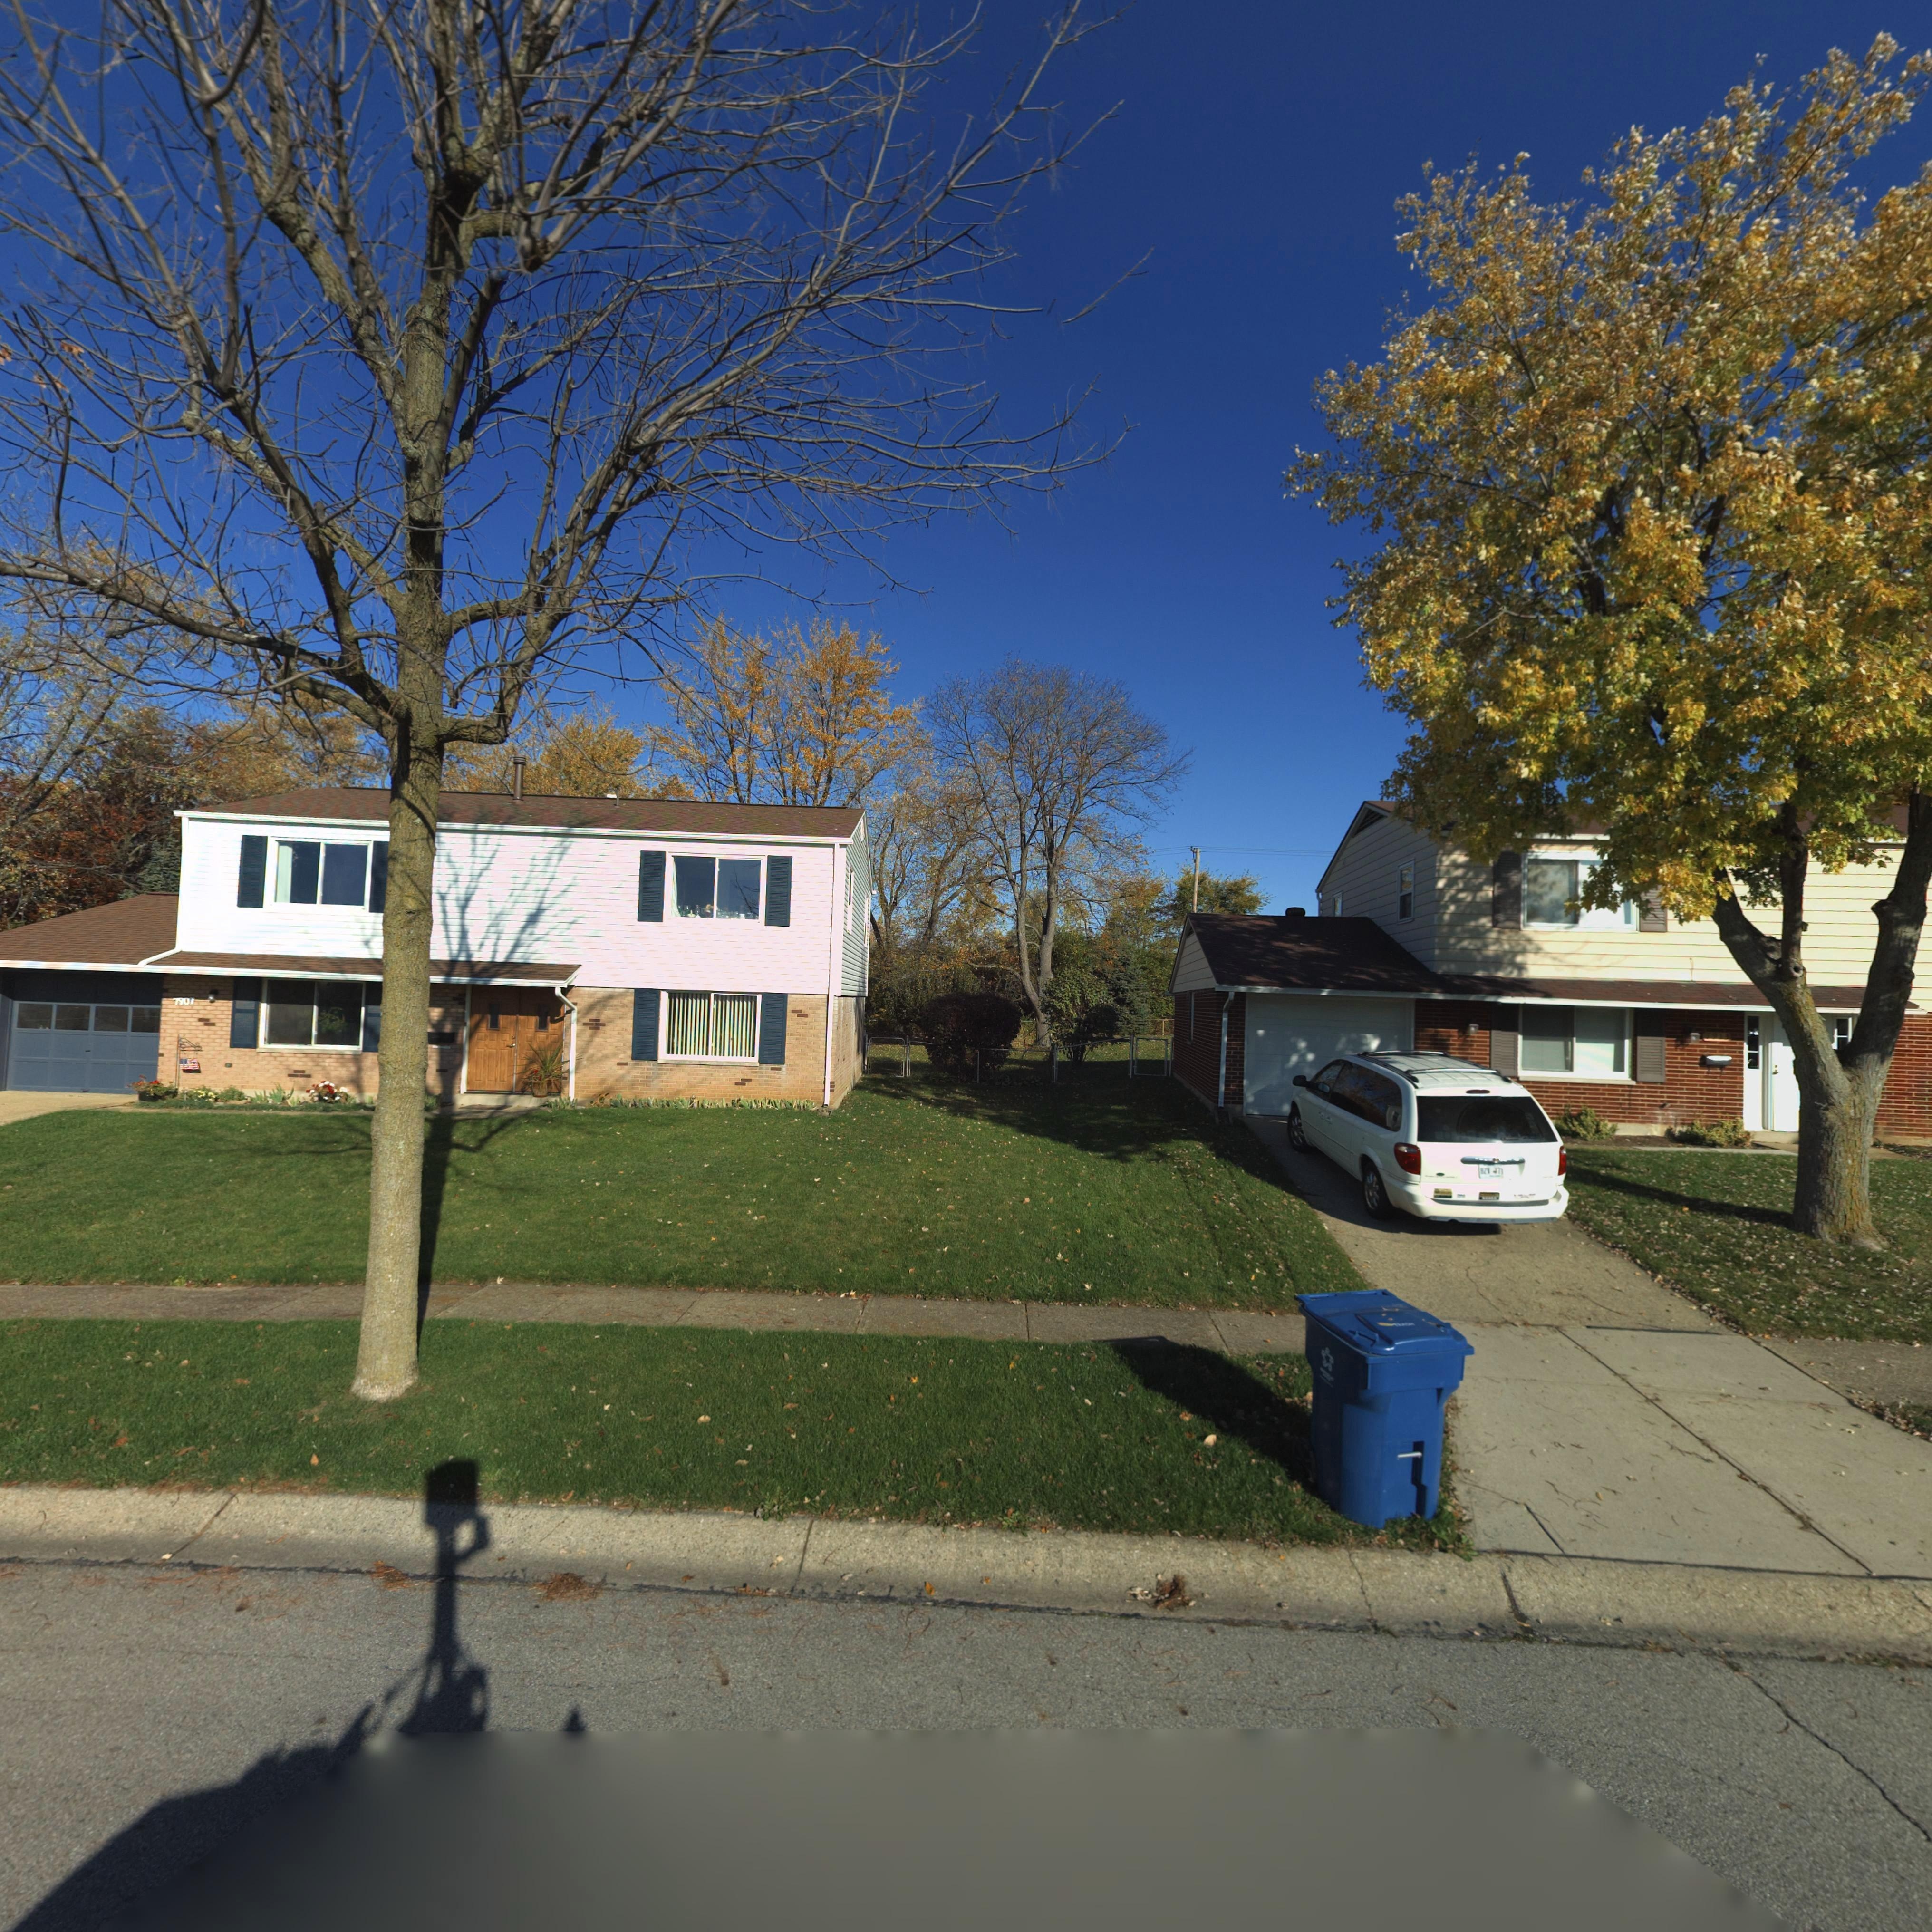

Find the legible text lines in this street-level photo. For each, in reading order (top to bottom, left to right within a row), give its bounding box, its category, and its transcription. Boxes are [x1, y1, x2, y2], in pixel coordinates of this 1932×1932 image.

[172, 996, 196, 1006] StreetNumber: 7907
[1705, 1032, 1730, 1040] StreetNumber: 7913